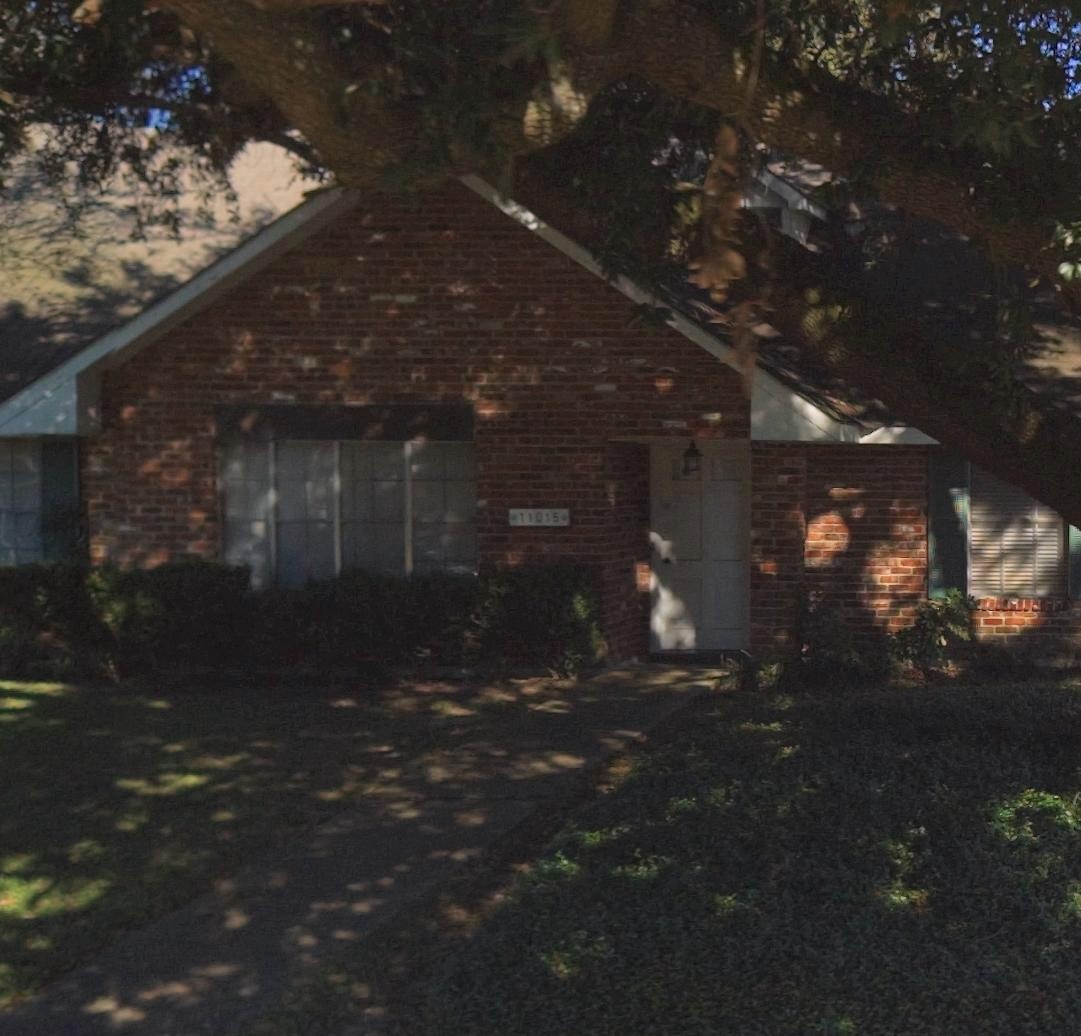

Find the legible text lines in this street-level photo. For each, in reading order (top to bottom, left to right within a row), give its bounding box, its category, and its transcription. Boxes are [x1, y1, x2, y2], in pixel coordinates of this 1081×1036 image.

[517, 509, 561, 526] StreetNumber: 11015